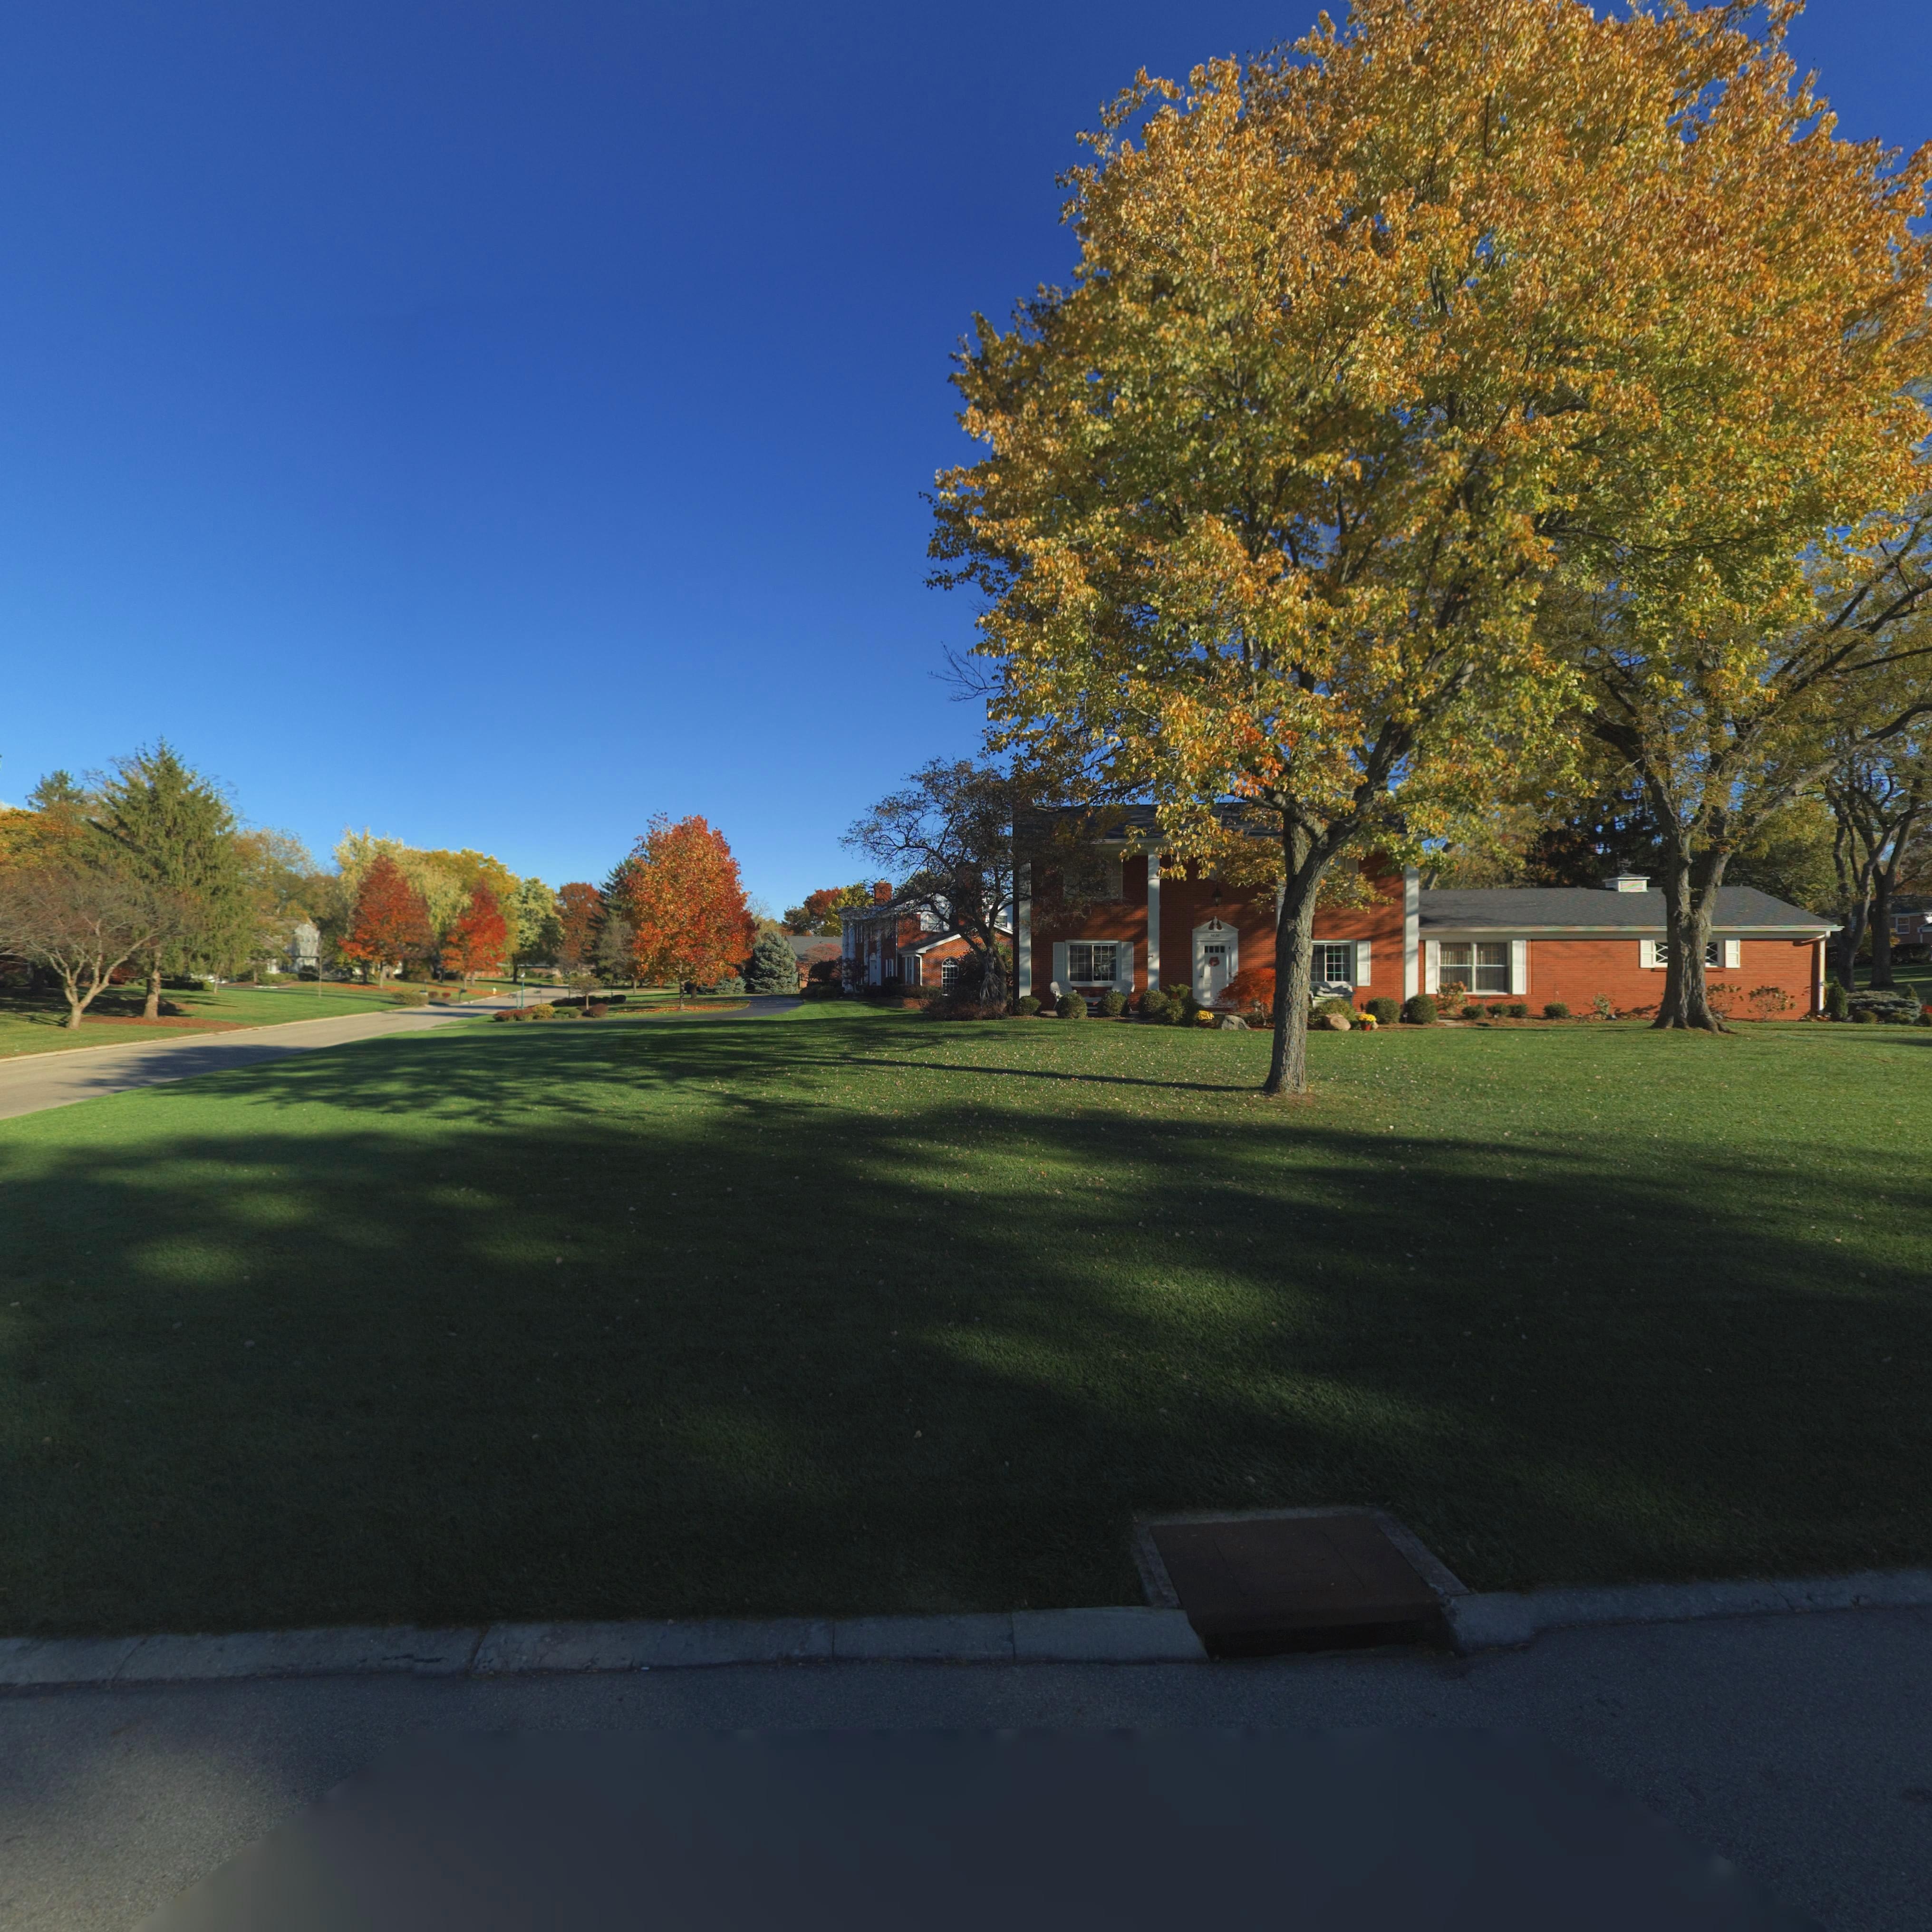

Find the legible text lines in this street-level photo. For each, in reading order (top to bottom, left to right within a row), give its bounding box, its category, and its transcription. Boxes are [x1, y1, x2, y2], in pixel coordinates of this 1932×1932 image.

[1209, 933, 1220, 937] StreetNumber: 5830